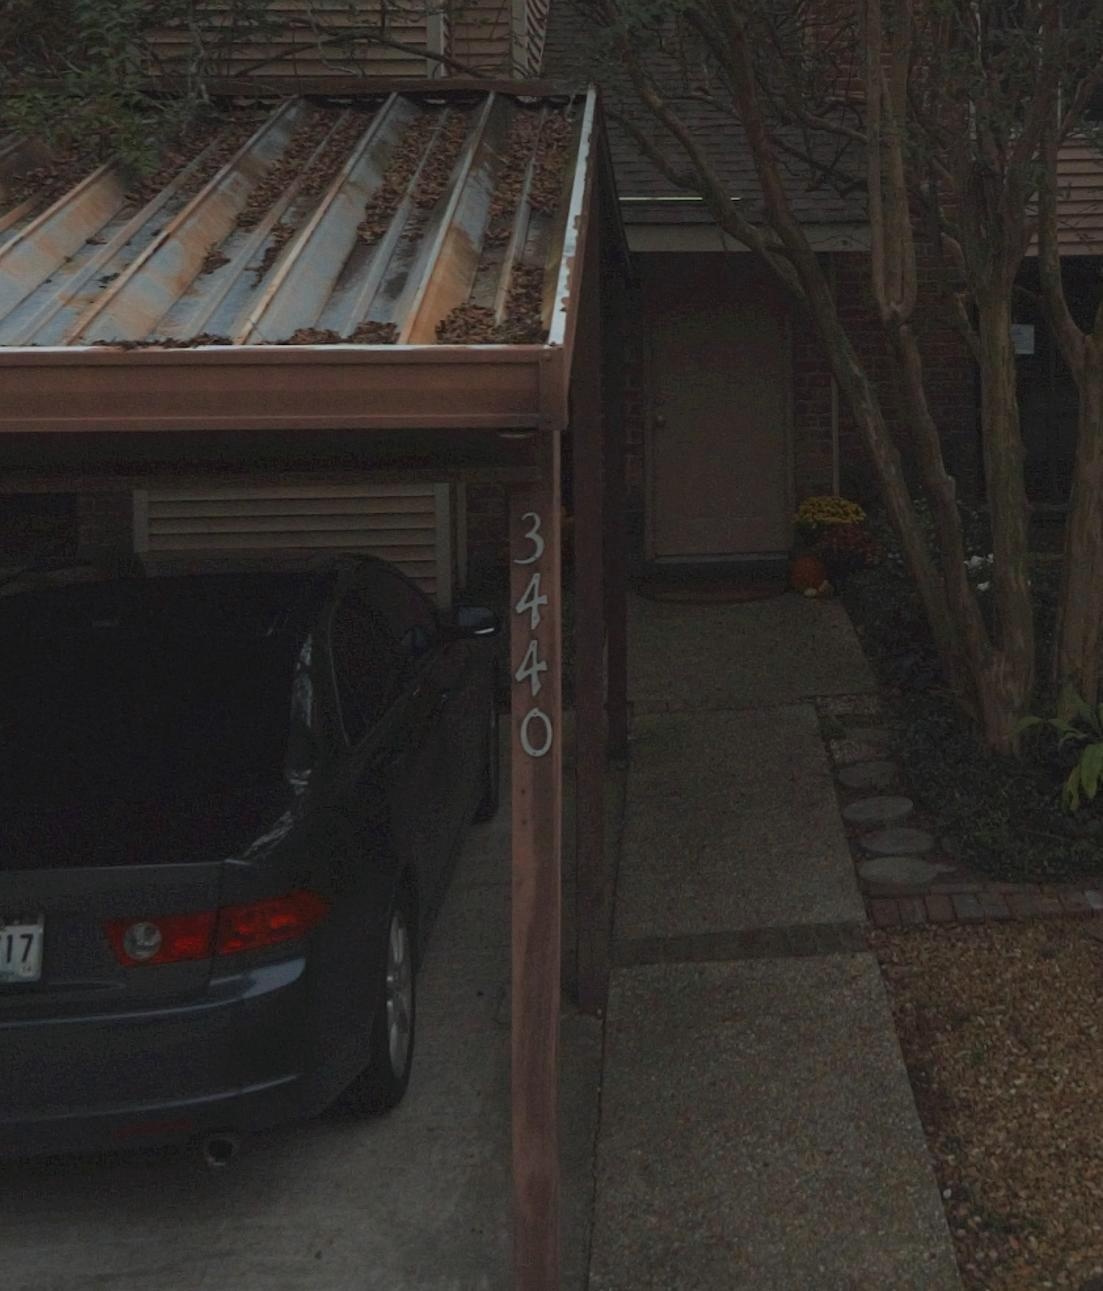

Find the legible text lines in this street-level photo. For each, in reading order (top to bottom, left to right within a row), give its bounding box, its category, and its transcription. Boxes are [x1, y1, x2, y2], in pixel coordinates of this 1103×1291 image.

[509, 509, 554, 762] StreetNumber: 3440
[1, 930, 33, 967] None: 17